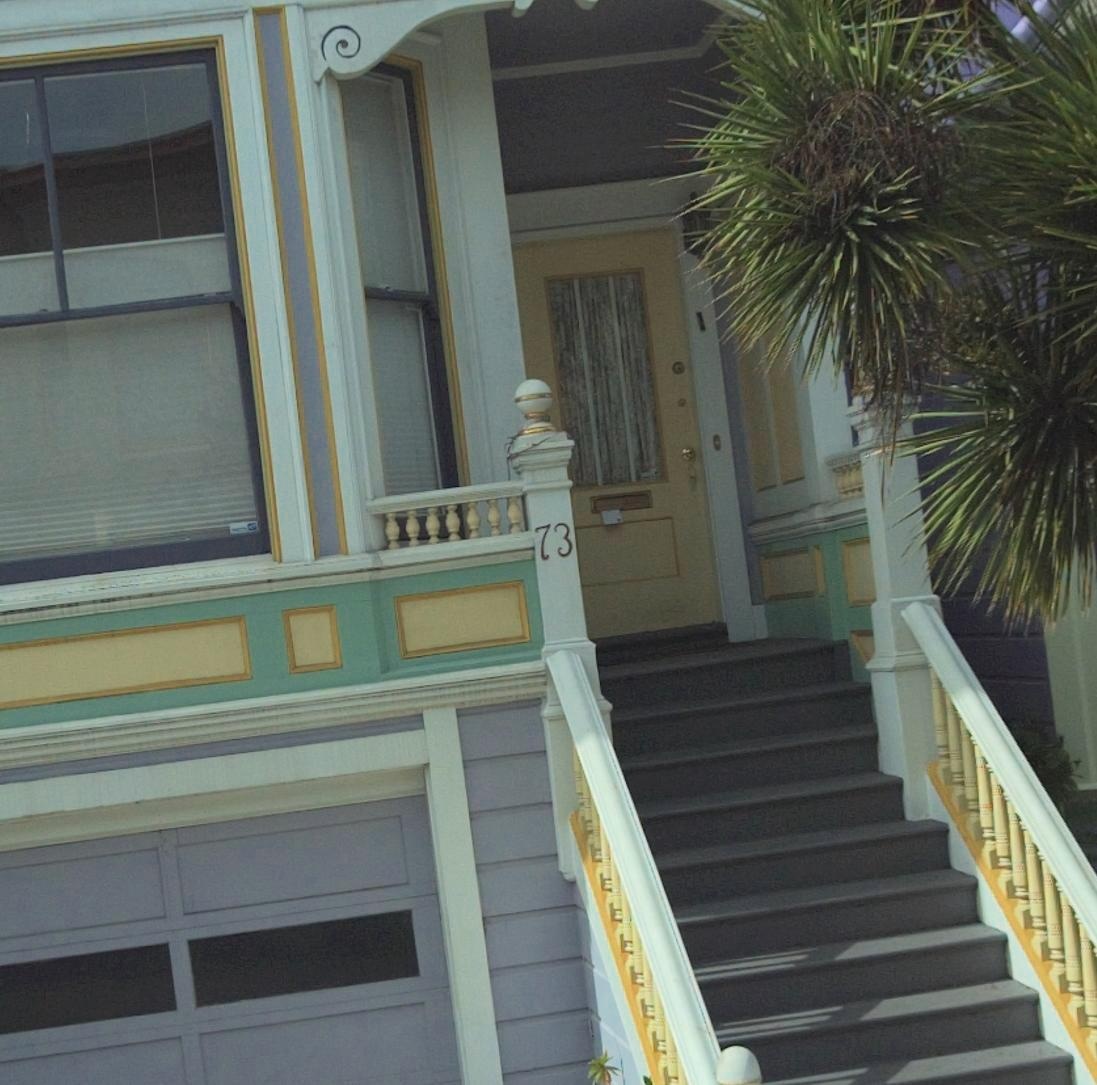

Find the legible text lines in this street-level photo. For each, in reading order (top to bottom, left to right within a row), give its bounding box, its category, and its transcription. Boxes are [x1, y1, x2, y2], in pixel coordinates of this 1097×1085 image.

[532, 518, 576, 563] StreetNumber: 73